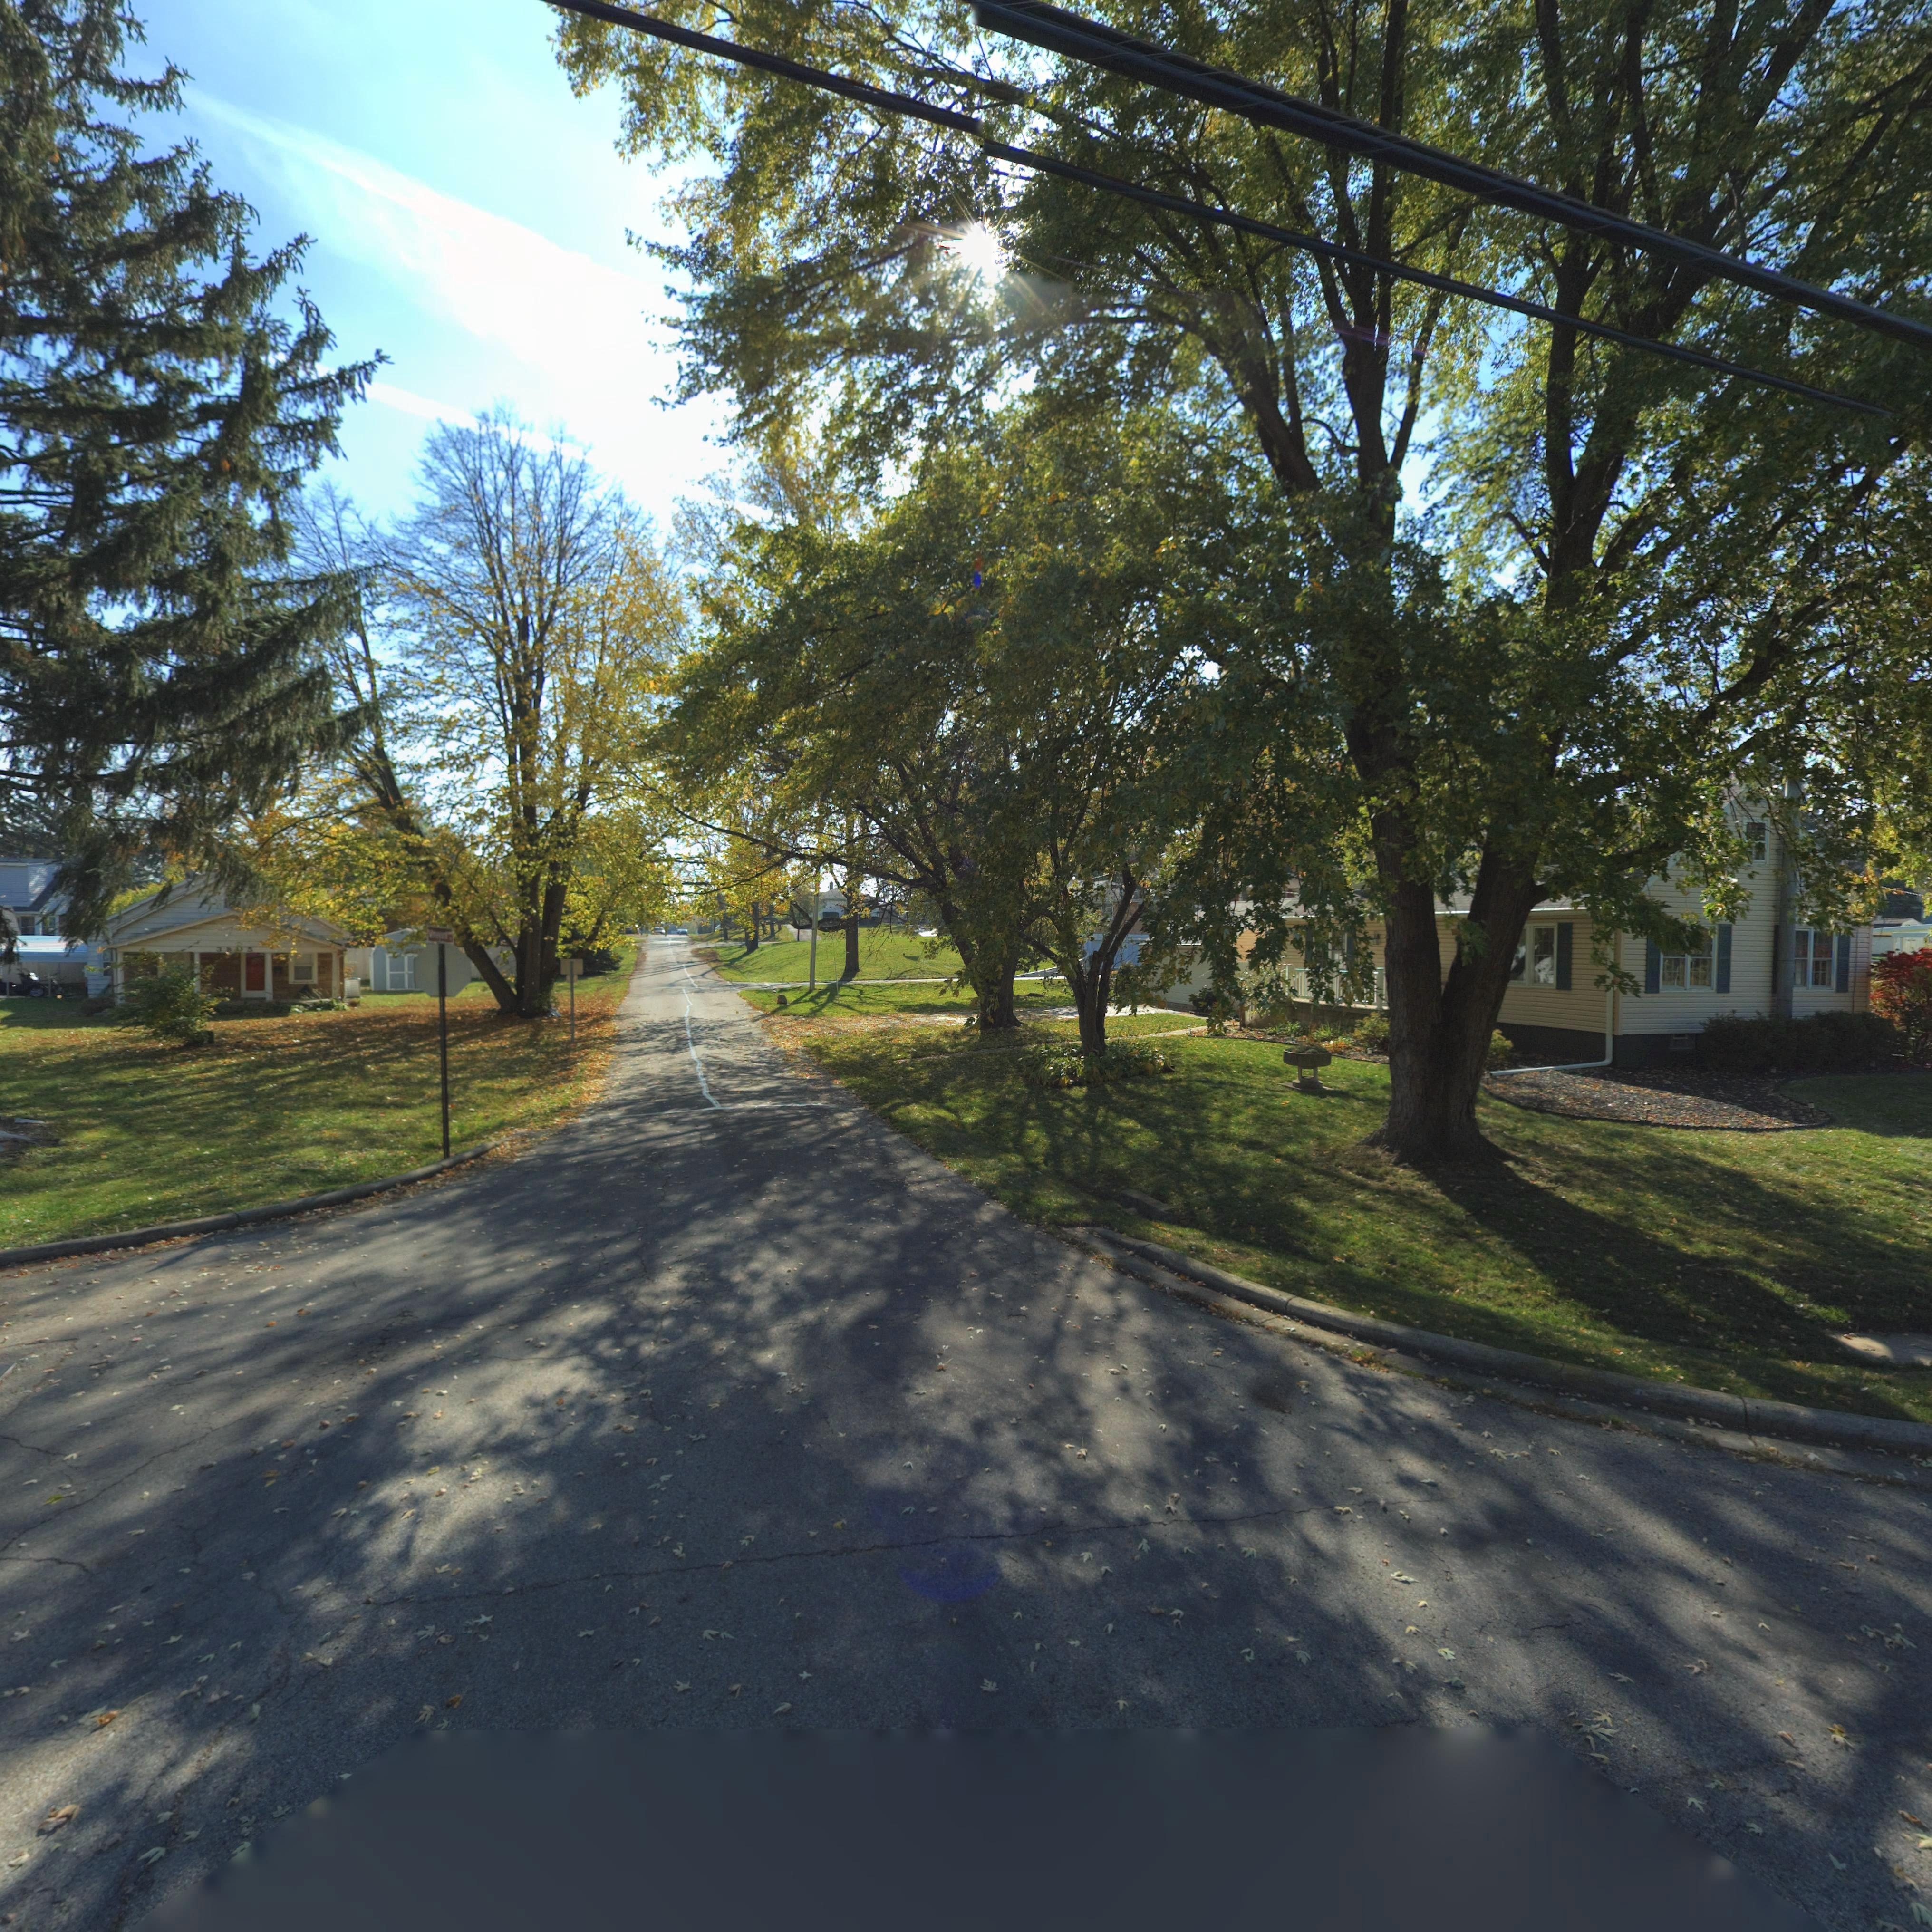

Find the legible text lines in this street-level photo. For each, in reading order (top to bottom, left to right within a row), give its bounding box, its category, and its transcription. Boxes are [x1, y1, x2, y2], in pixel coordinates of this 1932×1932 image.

[215, 945, 254, 953] StreetNumber: 3805